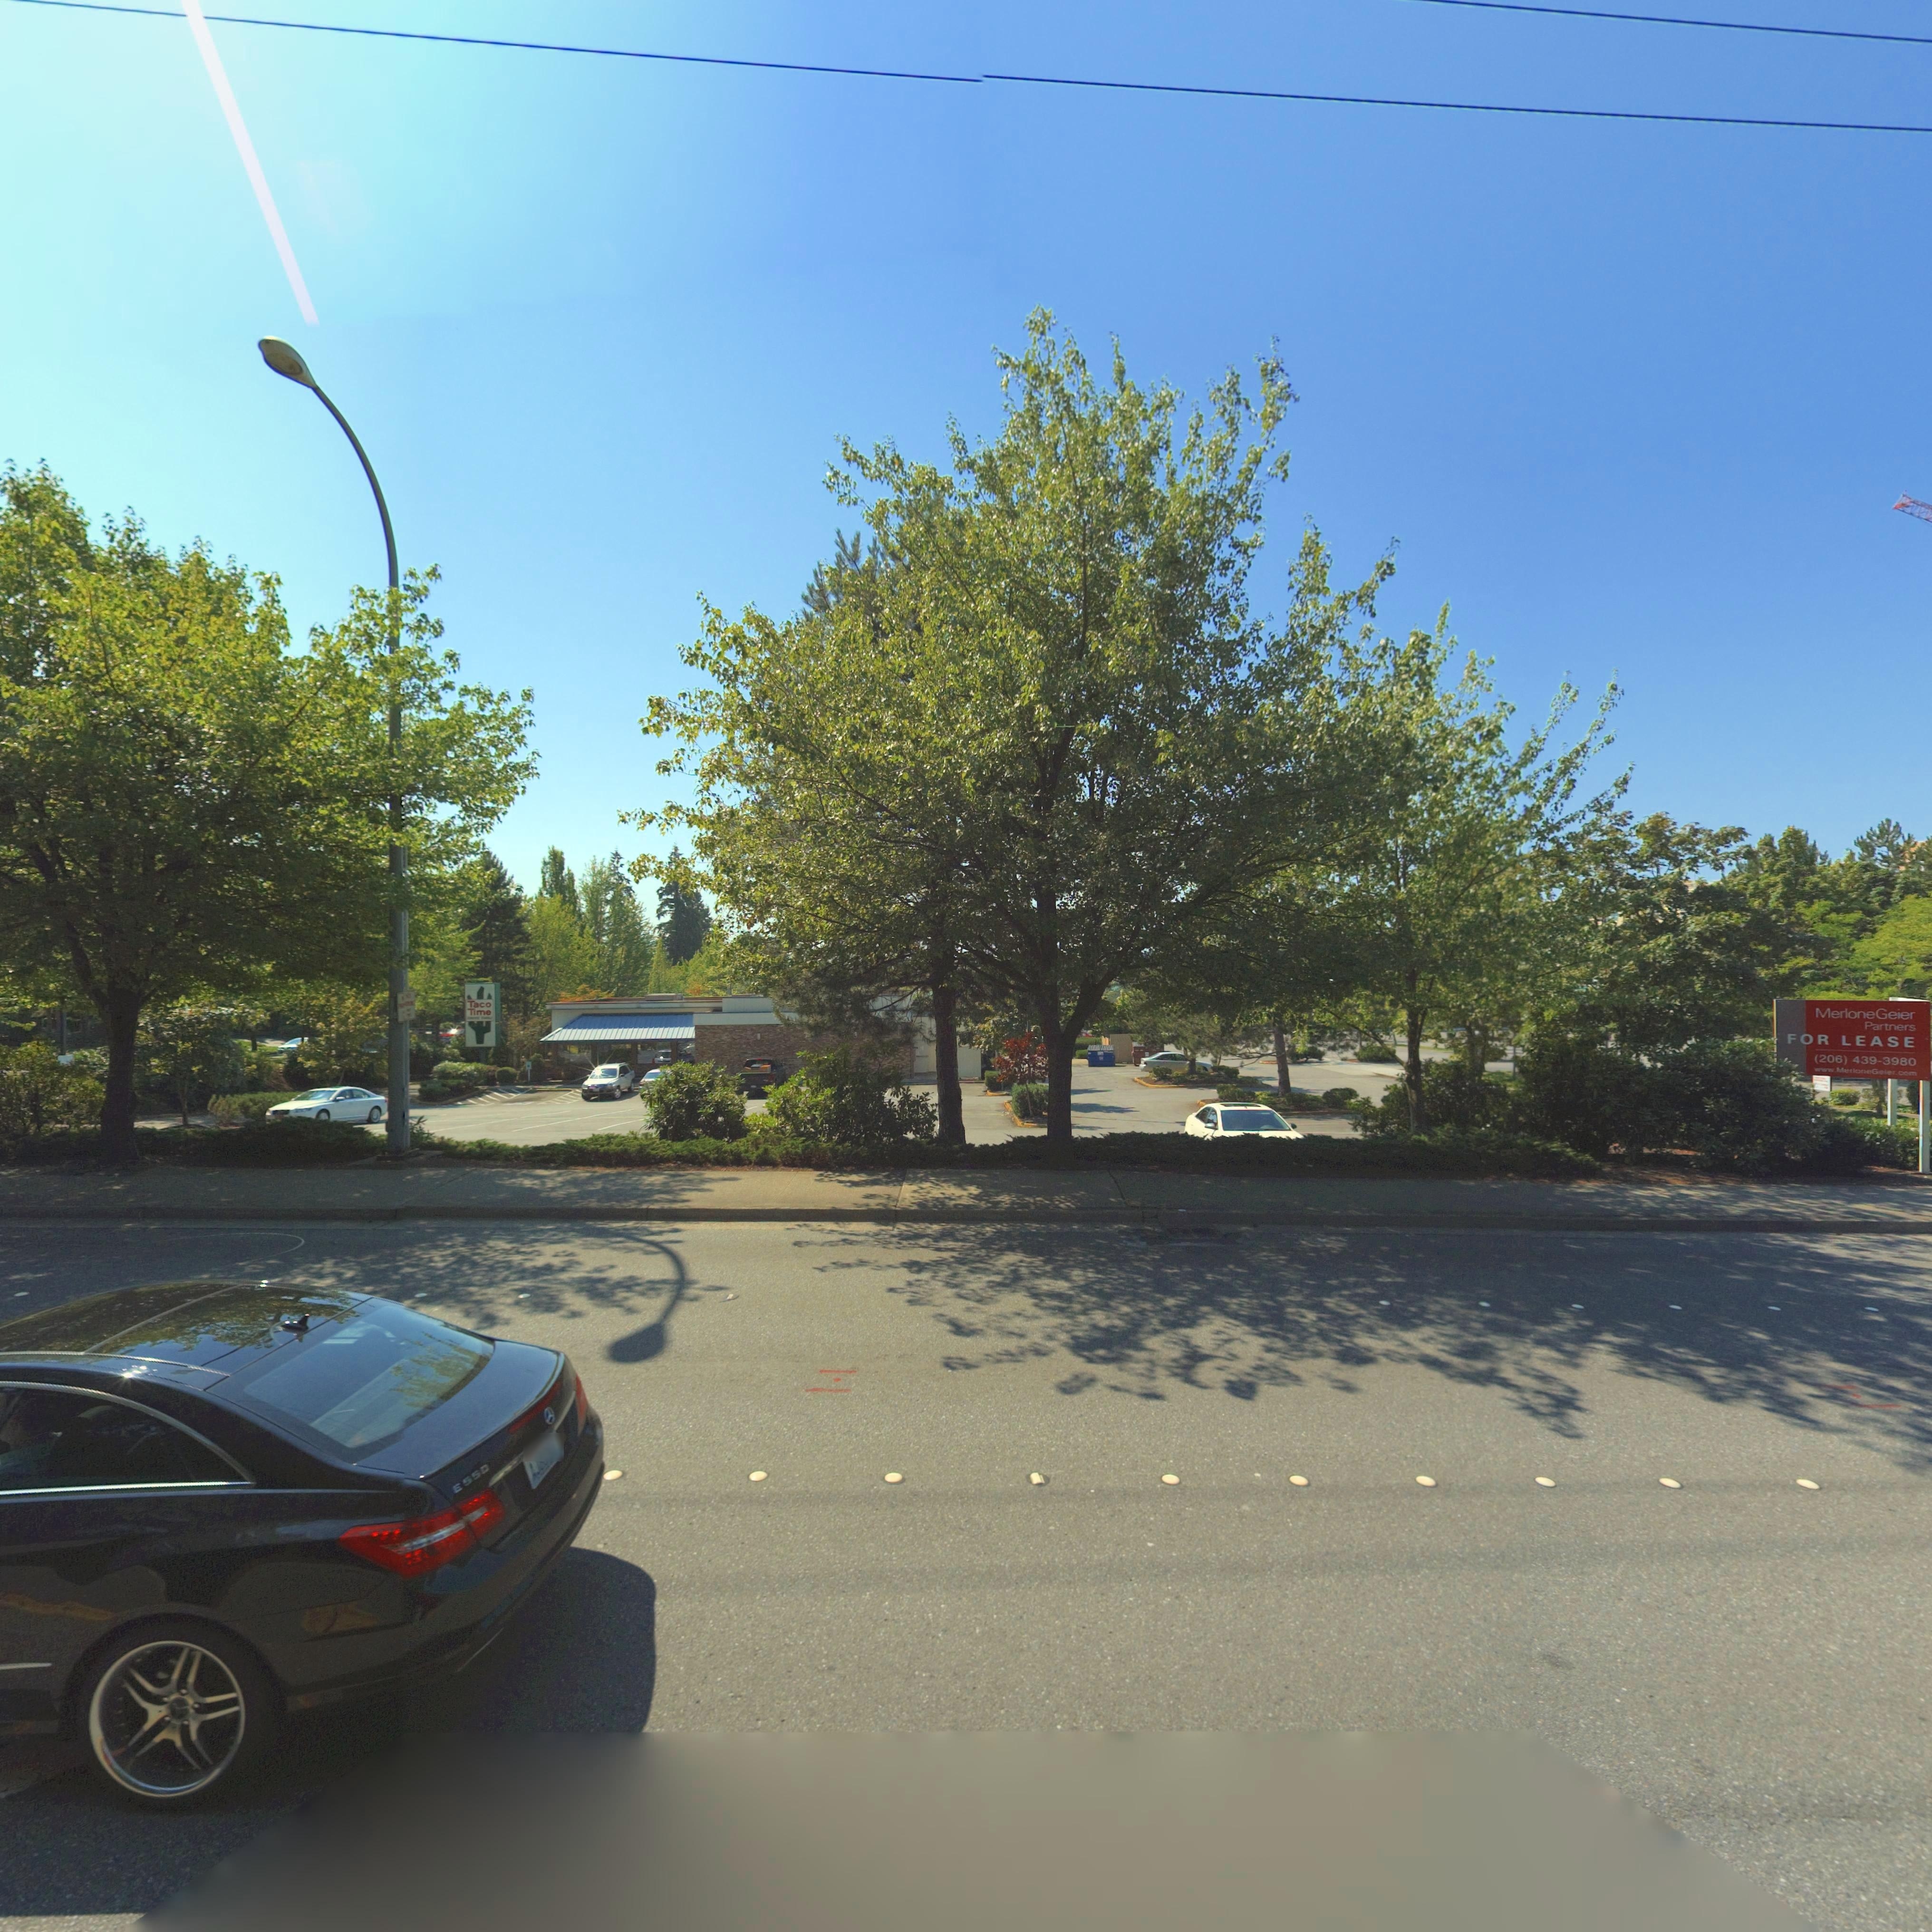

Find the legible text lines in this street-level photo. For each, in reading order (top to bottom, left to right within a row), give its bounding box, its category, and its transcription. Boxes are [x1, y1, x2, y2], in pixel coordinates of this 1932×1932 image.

[467, 999, 491, 1007] BusinessName: Taco
[467, 1008, 491, 1015] BusinessName: Time